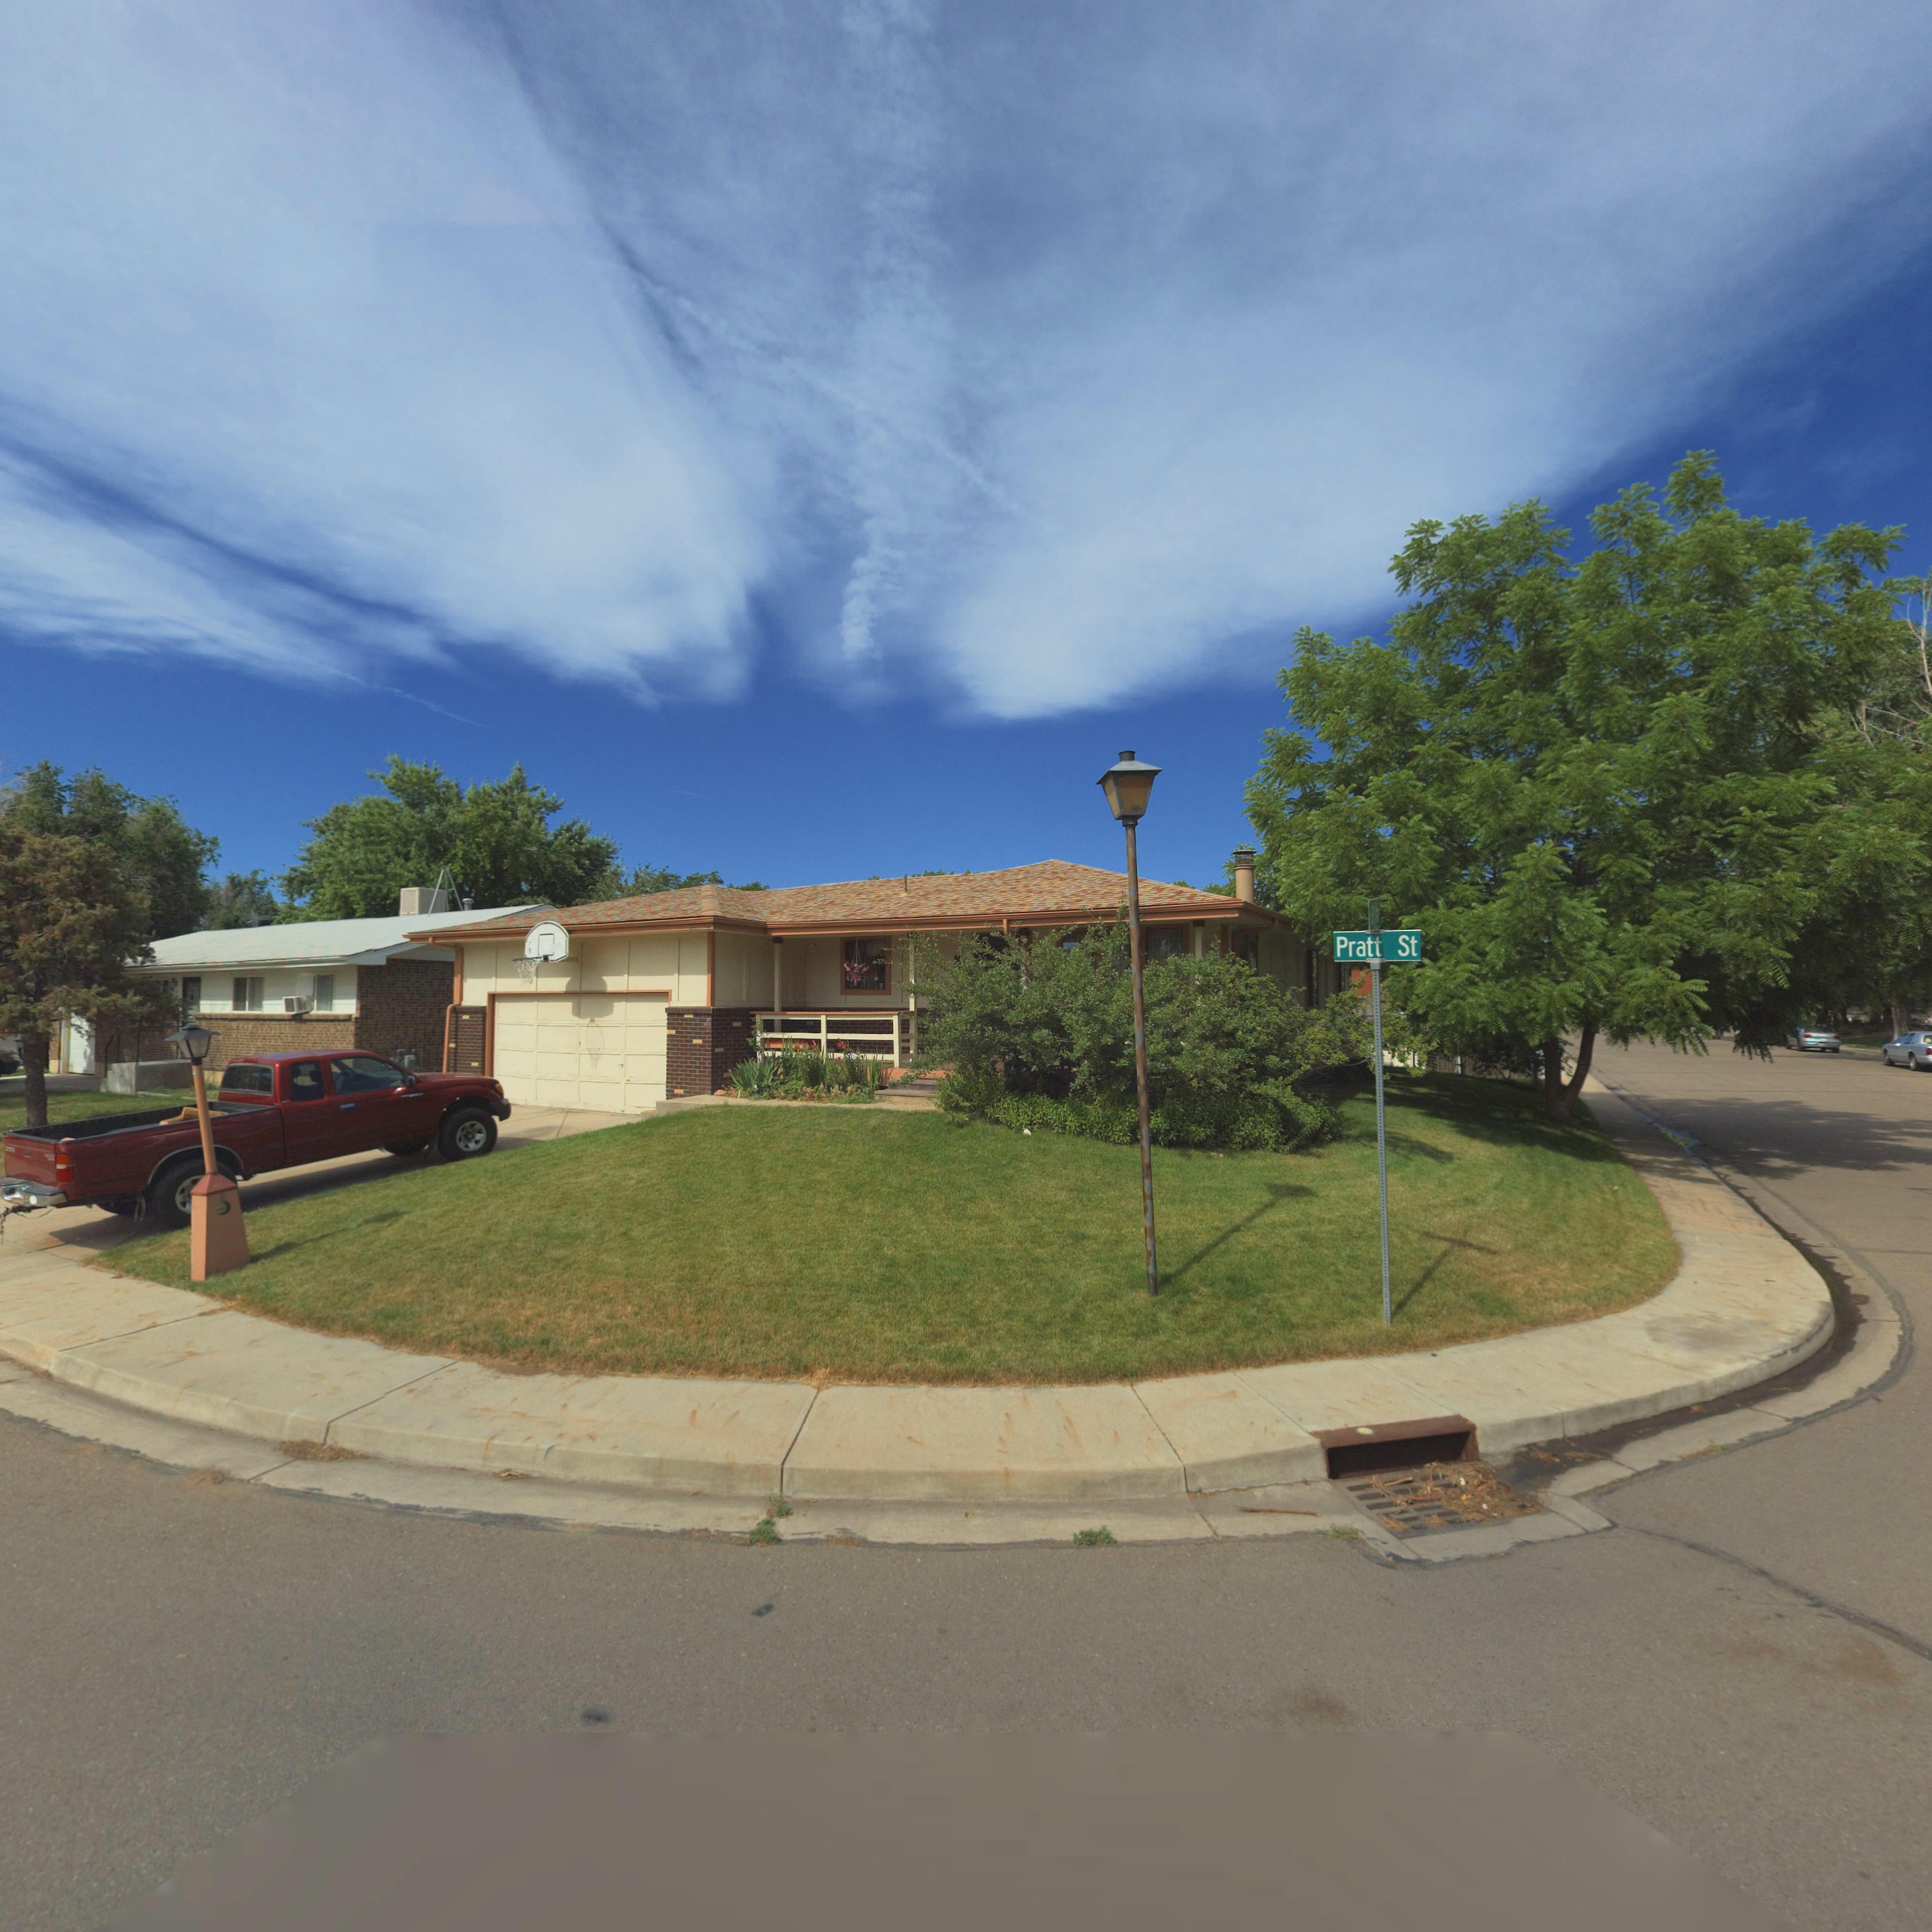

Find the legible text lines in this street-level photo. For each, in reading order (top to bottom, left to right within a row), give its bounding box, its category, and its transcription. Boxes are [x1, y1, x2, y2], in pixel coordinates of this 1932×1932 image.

[1336, 934, 1417, 957] StreetName: Pratt St